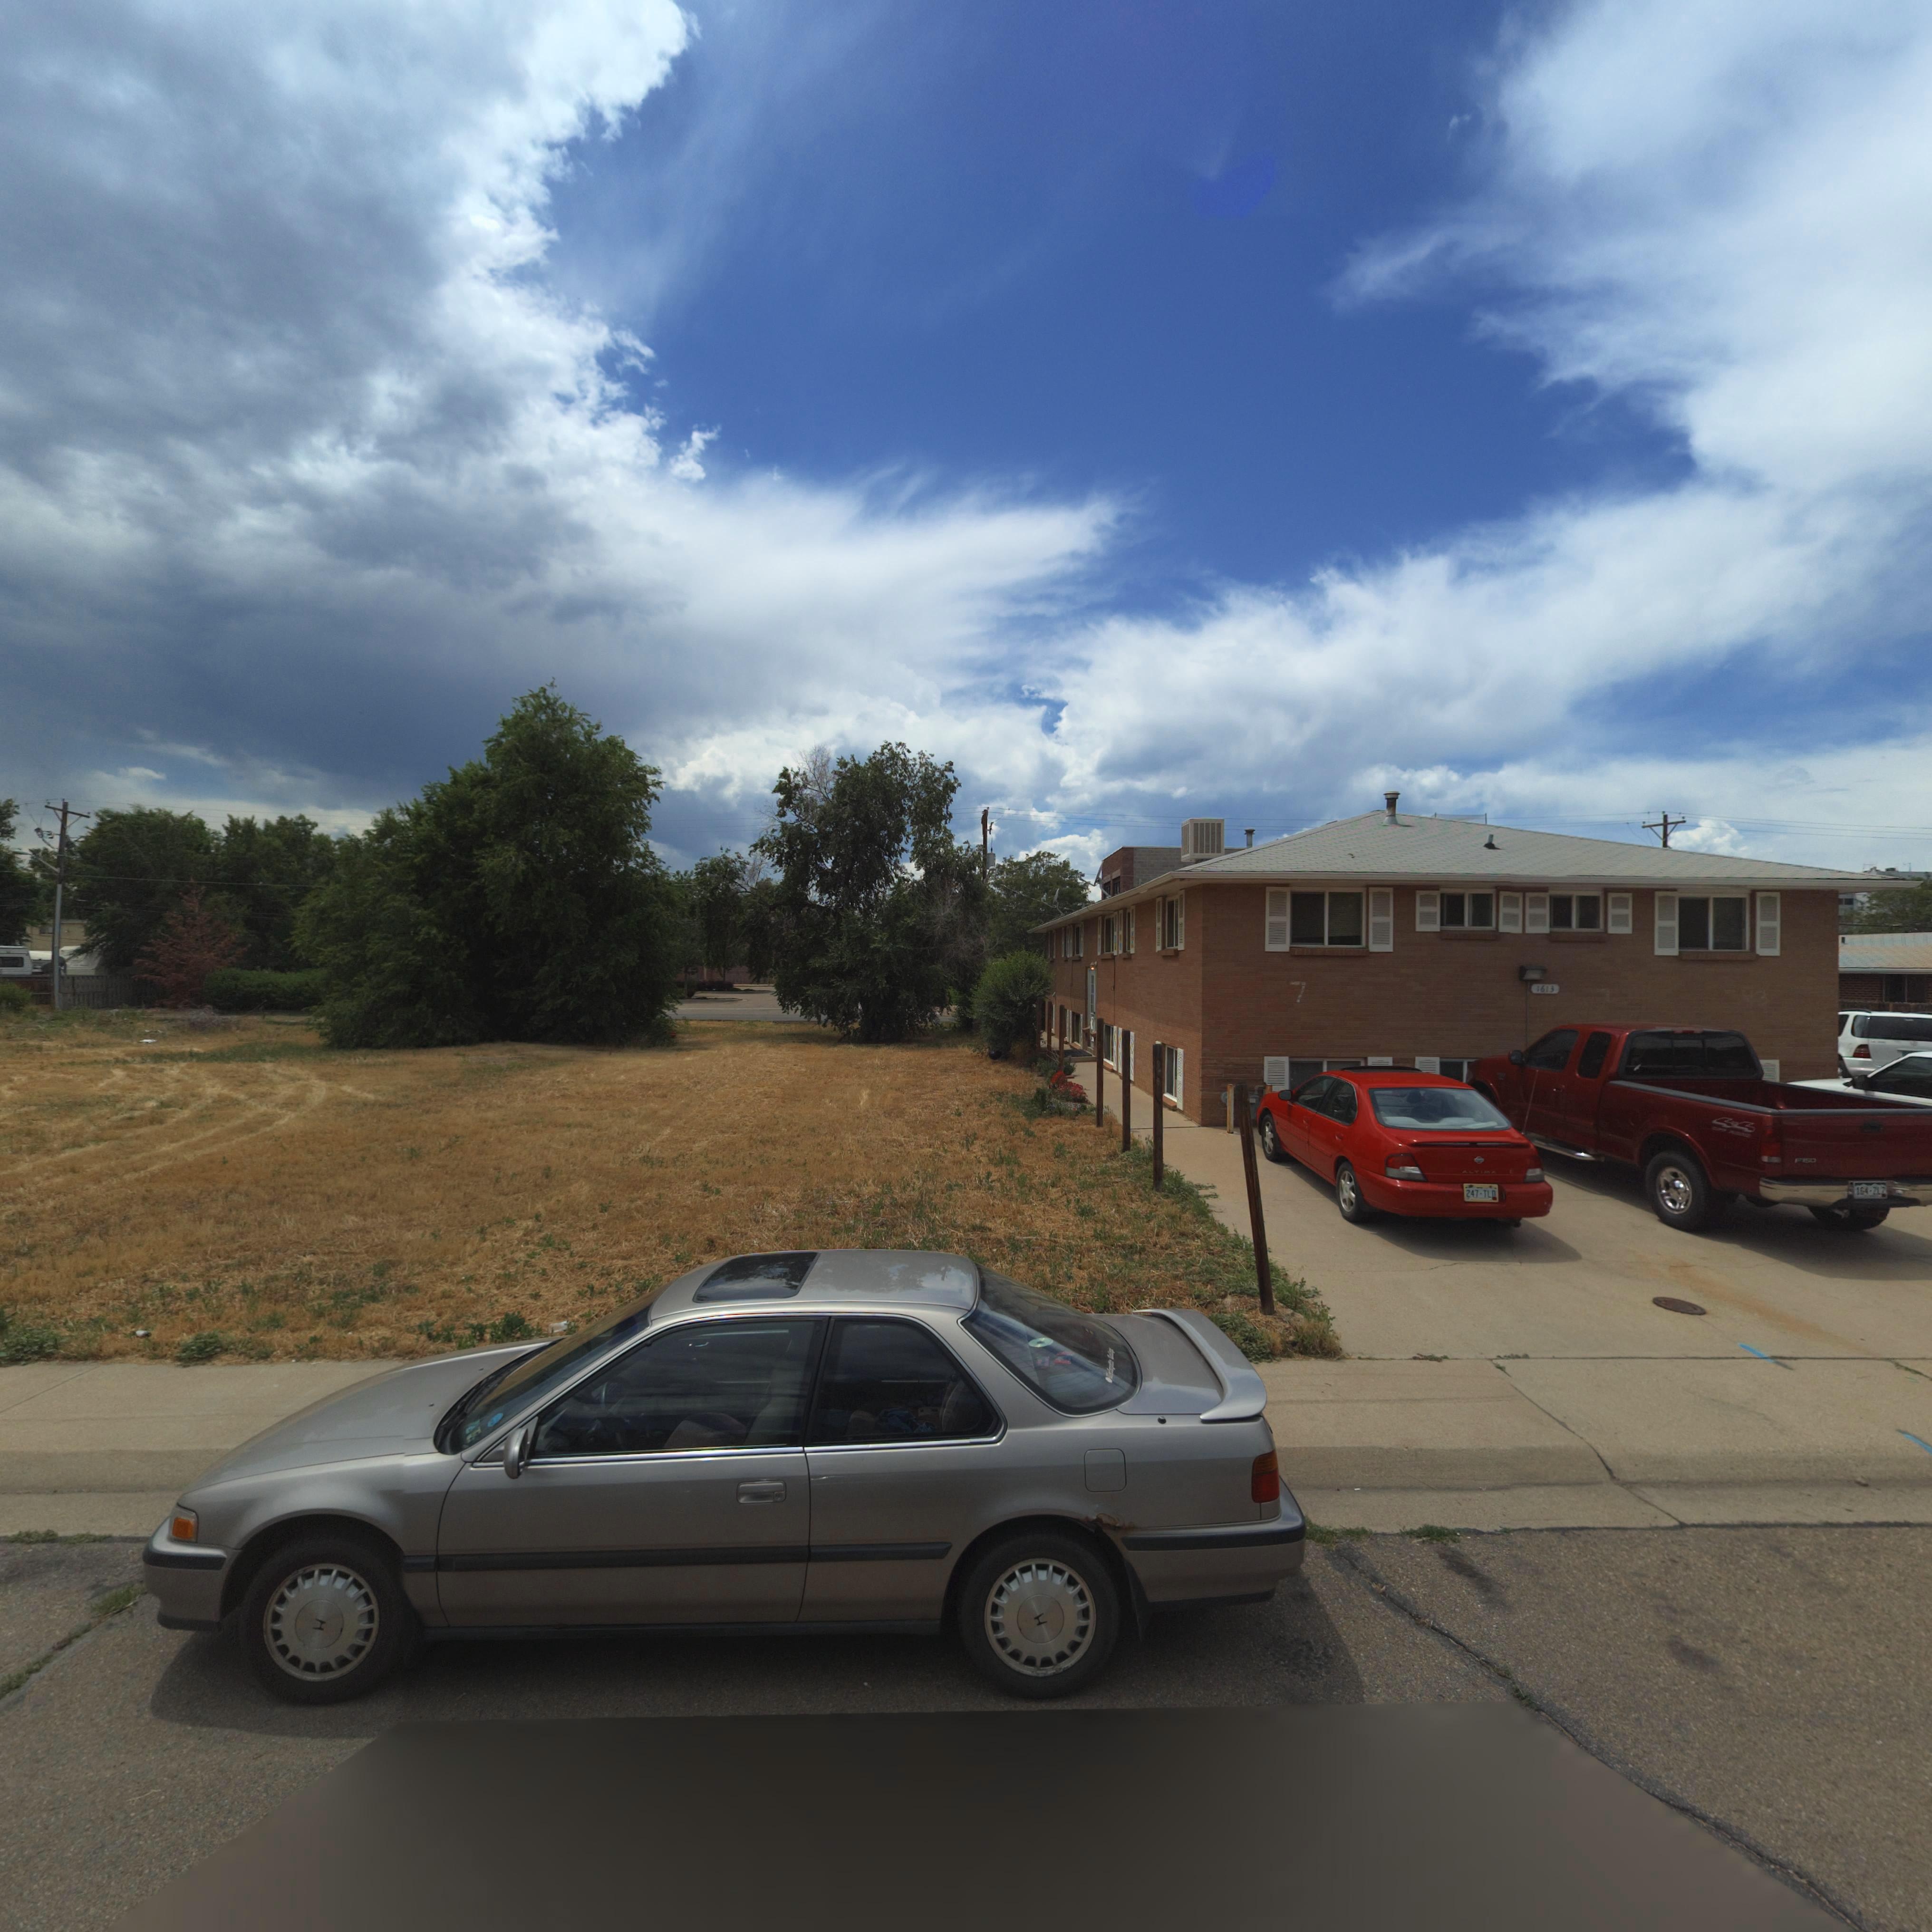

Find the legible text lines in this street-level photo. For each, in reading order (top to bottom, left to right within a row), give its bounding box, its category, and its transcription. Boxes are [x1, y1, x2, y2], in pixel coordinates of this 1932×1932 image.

[1536, 985, 1555, 993] StreetNumber: 1613